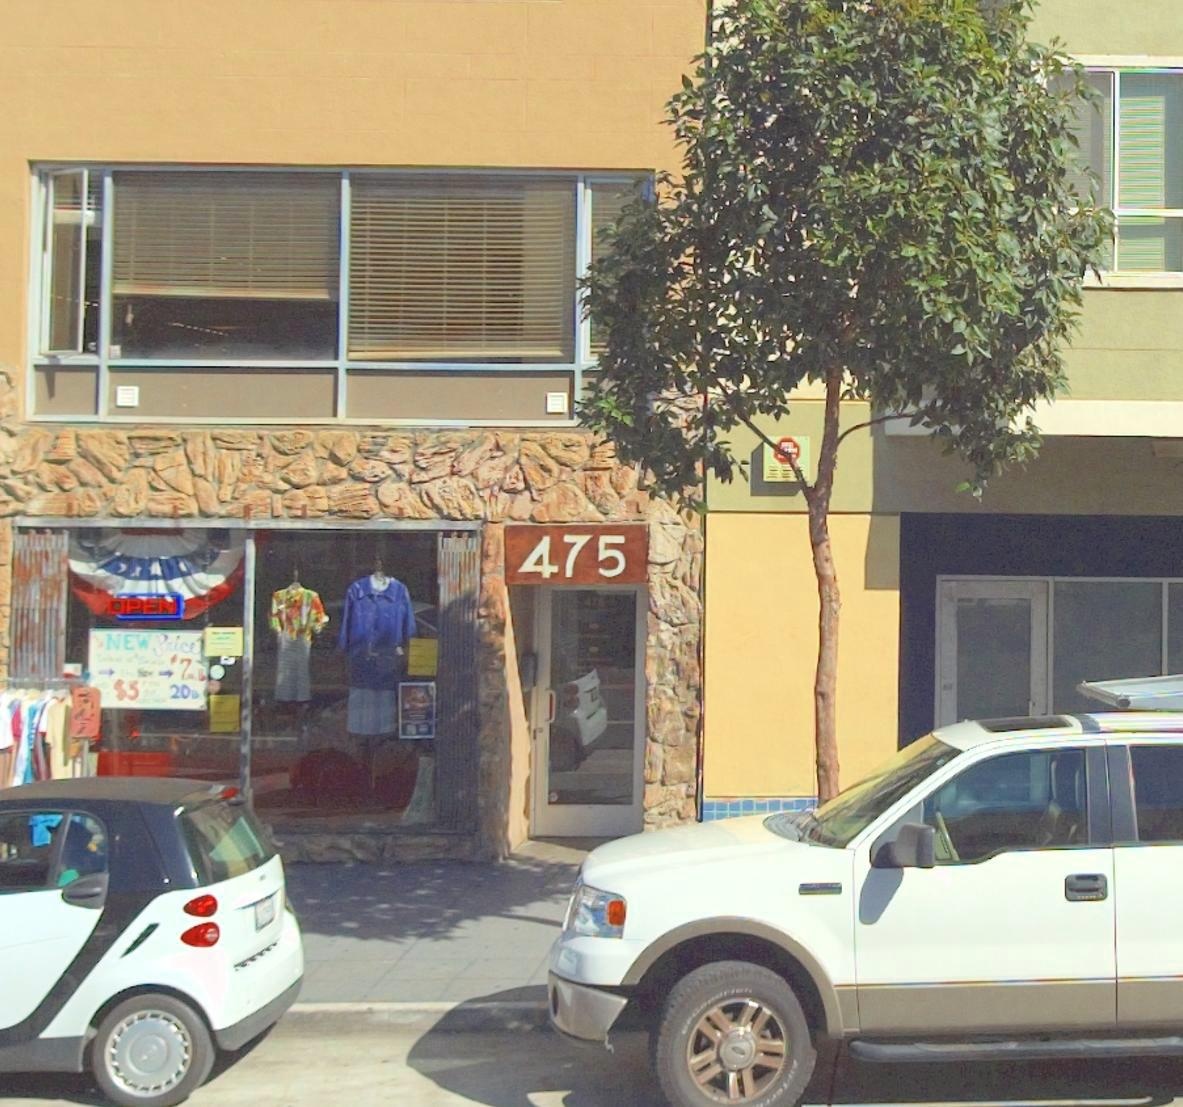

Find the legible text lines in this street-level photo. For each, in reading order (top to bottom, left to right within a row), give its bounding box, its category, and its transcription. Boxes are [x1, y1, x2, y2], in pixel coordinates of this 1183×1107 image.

[514, 533, 627, 581] StreetNumber: 475
[106, 596, 180, 617] None: OPEN
[105, 631, 154, 652] None: NEW
[163, 633, 200, 657] None: rice
[178, 657, 193, 682] None: 7
[124, 678, 141, 703] None: 5
[168, 682, 194, 700] None: 20